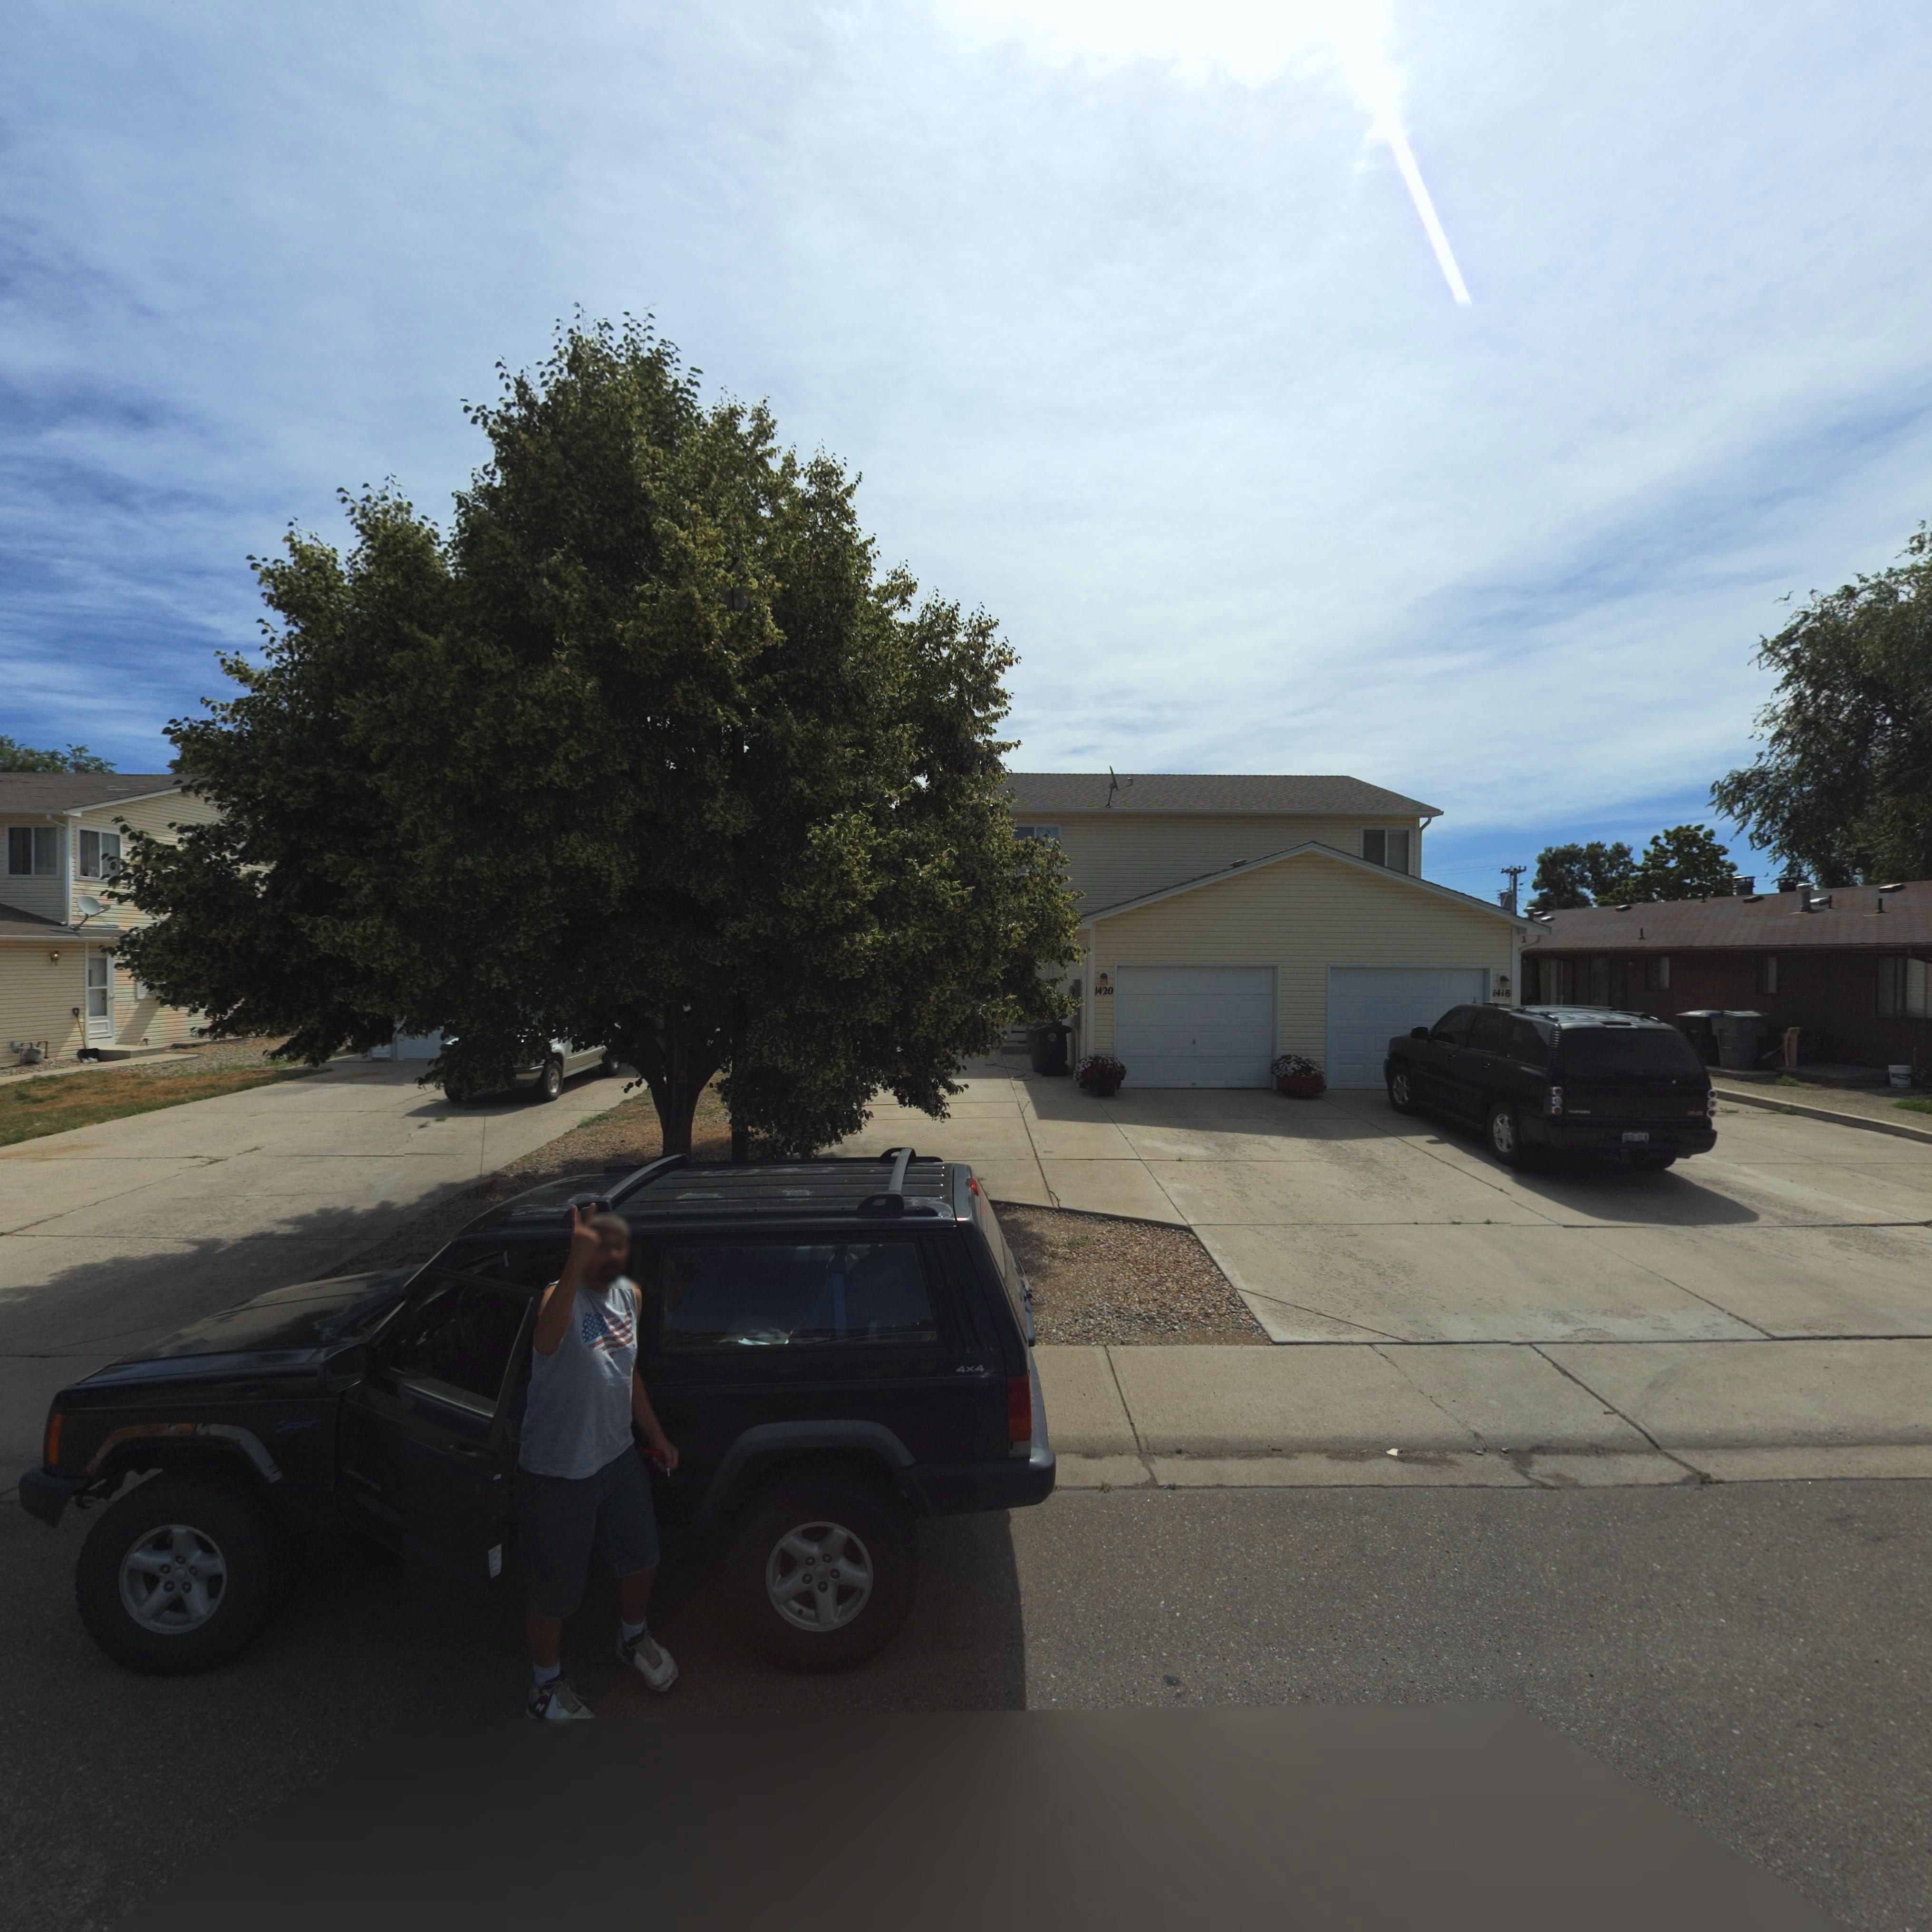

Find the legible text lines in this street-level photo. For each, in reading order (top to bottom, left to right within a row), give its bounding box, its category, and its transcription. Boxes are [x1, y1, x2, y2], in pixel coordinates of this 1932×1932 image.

[1094, 985, 1114, 995] StreetNumber: 1420
[1493, 988, 1510, 997] StreetNumber: 1418